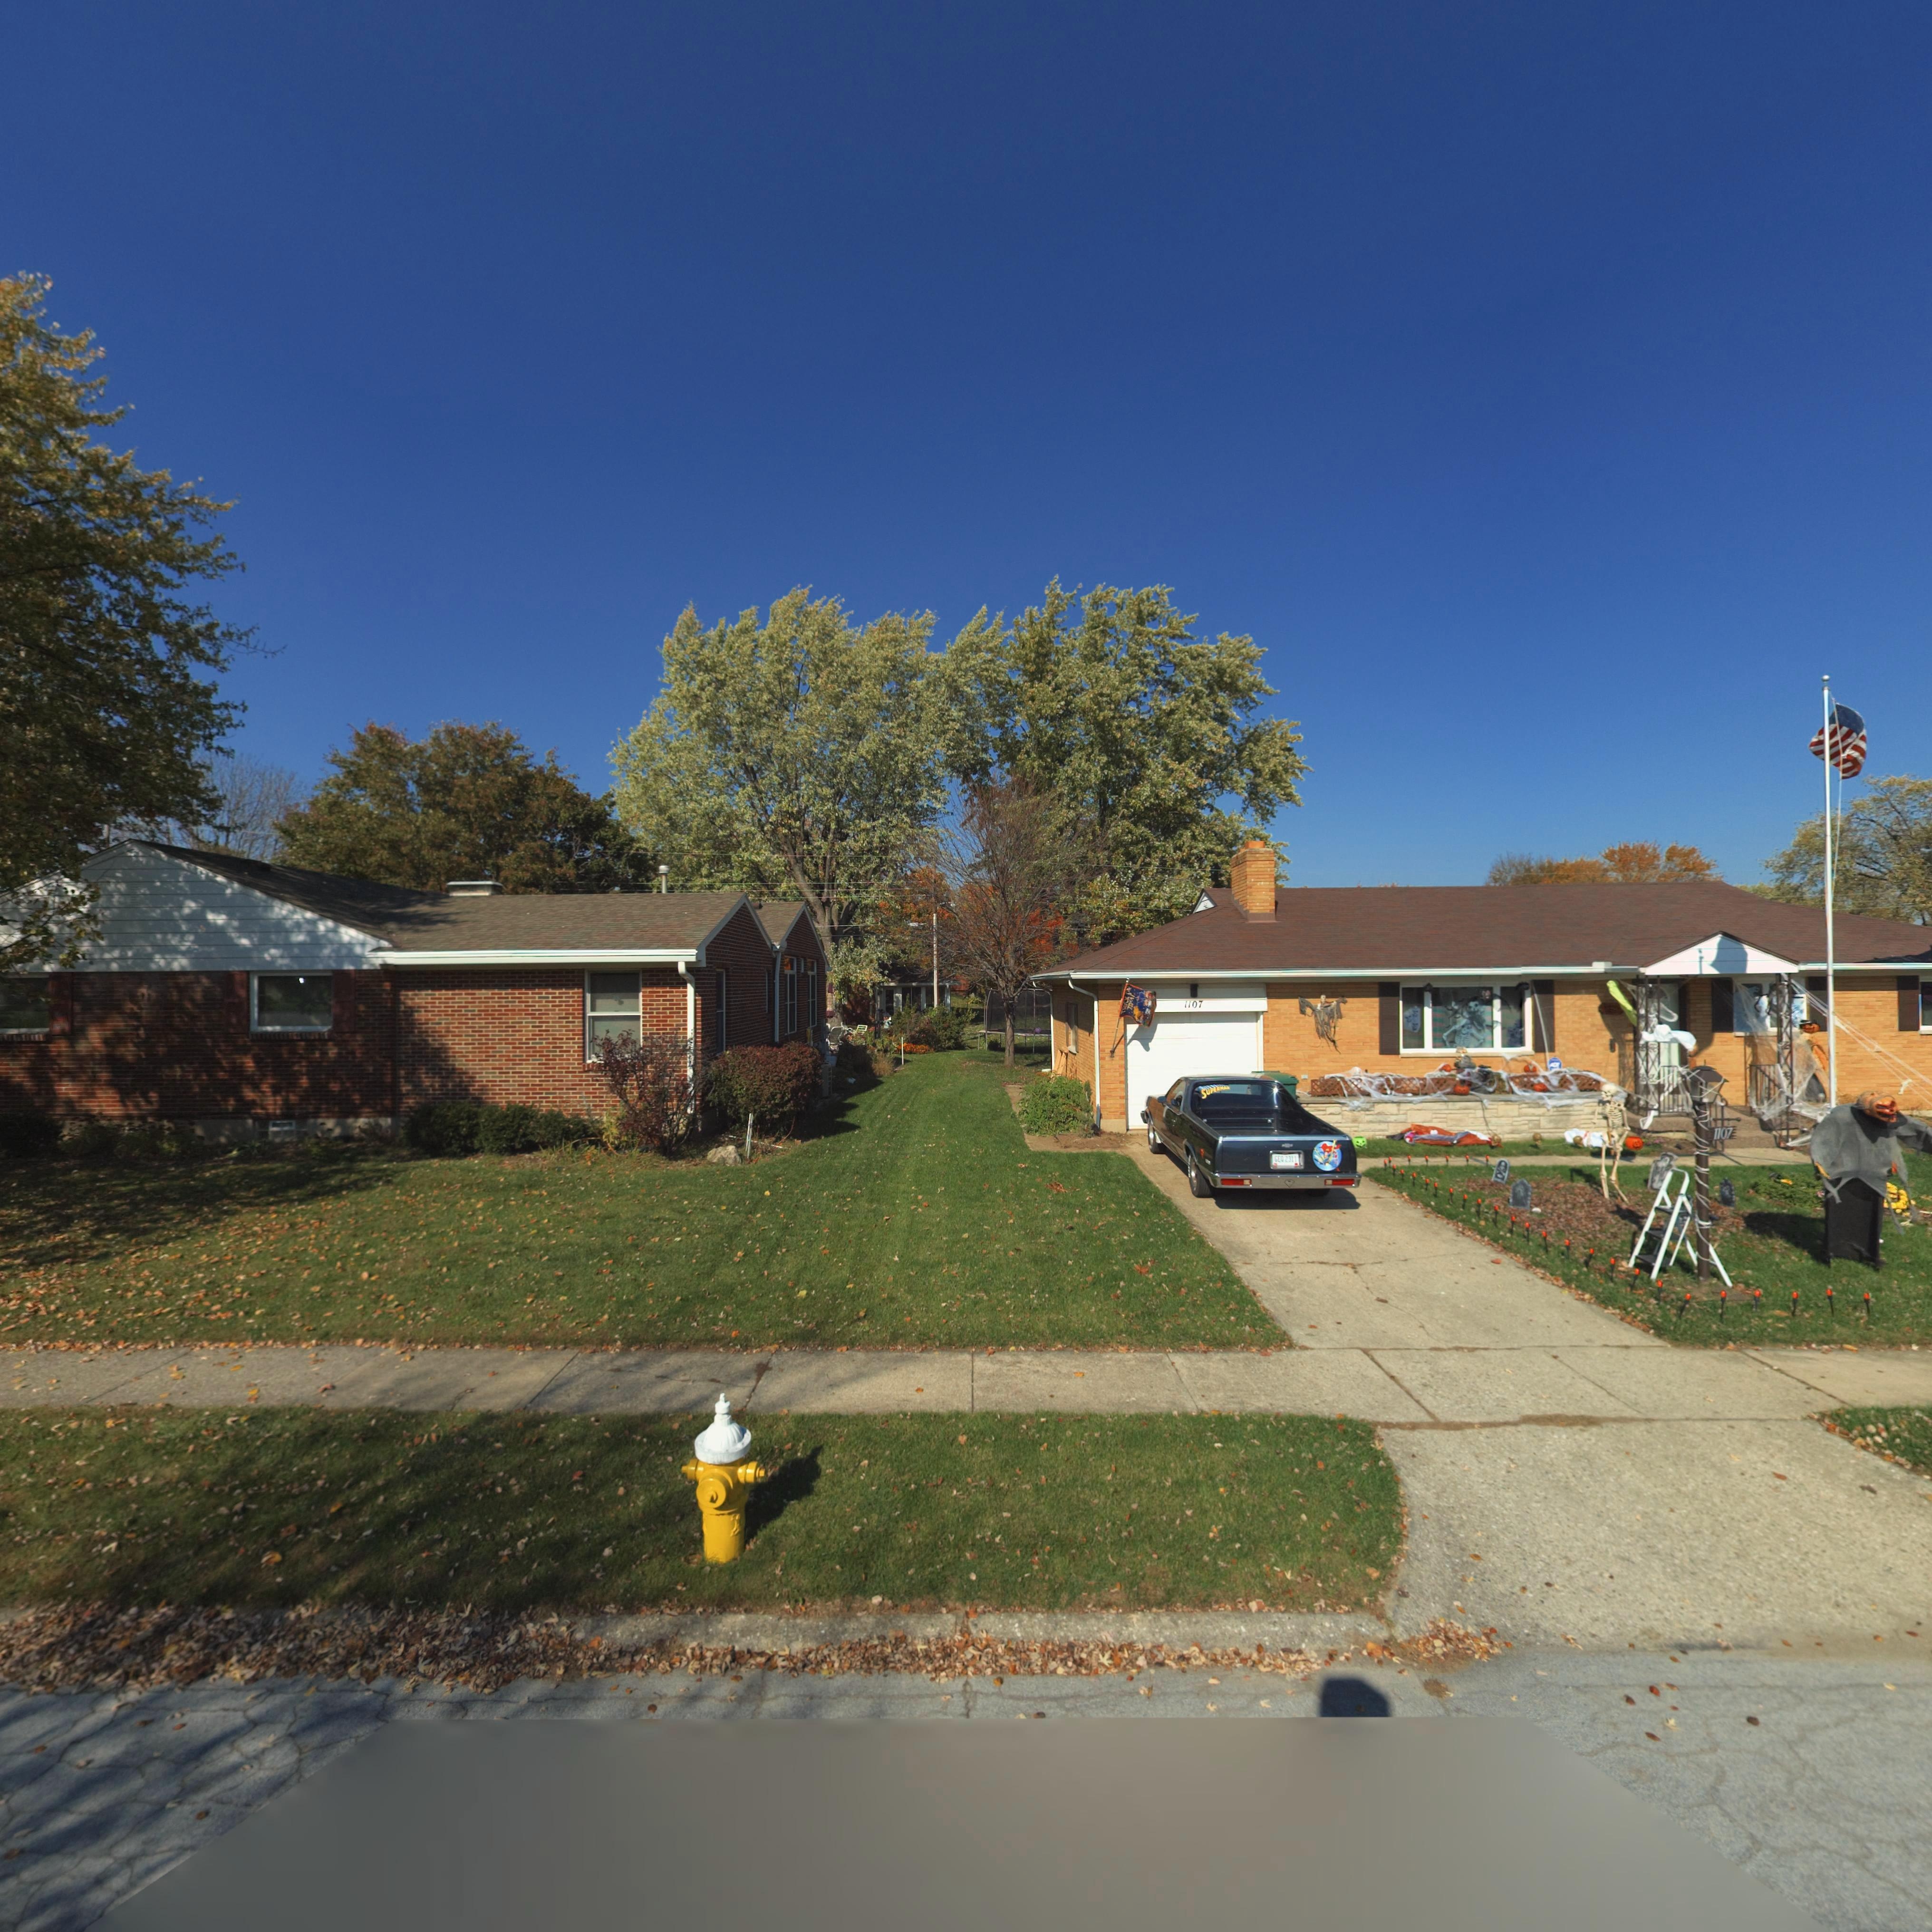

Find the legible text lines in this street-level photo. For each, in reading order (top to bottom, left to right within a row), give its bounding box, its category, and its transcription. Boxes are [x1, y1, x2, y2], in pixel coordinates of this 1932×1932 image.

[1184, 1000, 1204, 1009] StreetNumber: 1107
[1548, 1062, 1561, 1067] None: ADT
[1200, 1086, 1230, 1100] None: SUPERMAN
[1713, 1127, 1735, 1140] StreetNumber: 1107
[1274, 1155, 1298, 1163] None: GEO2311